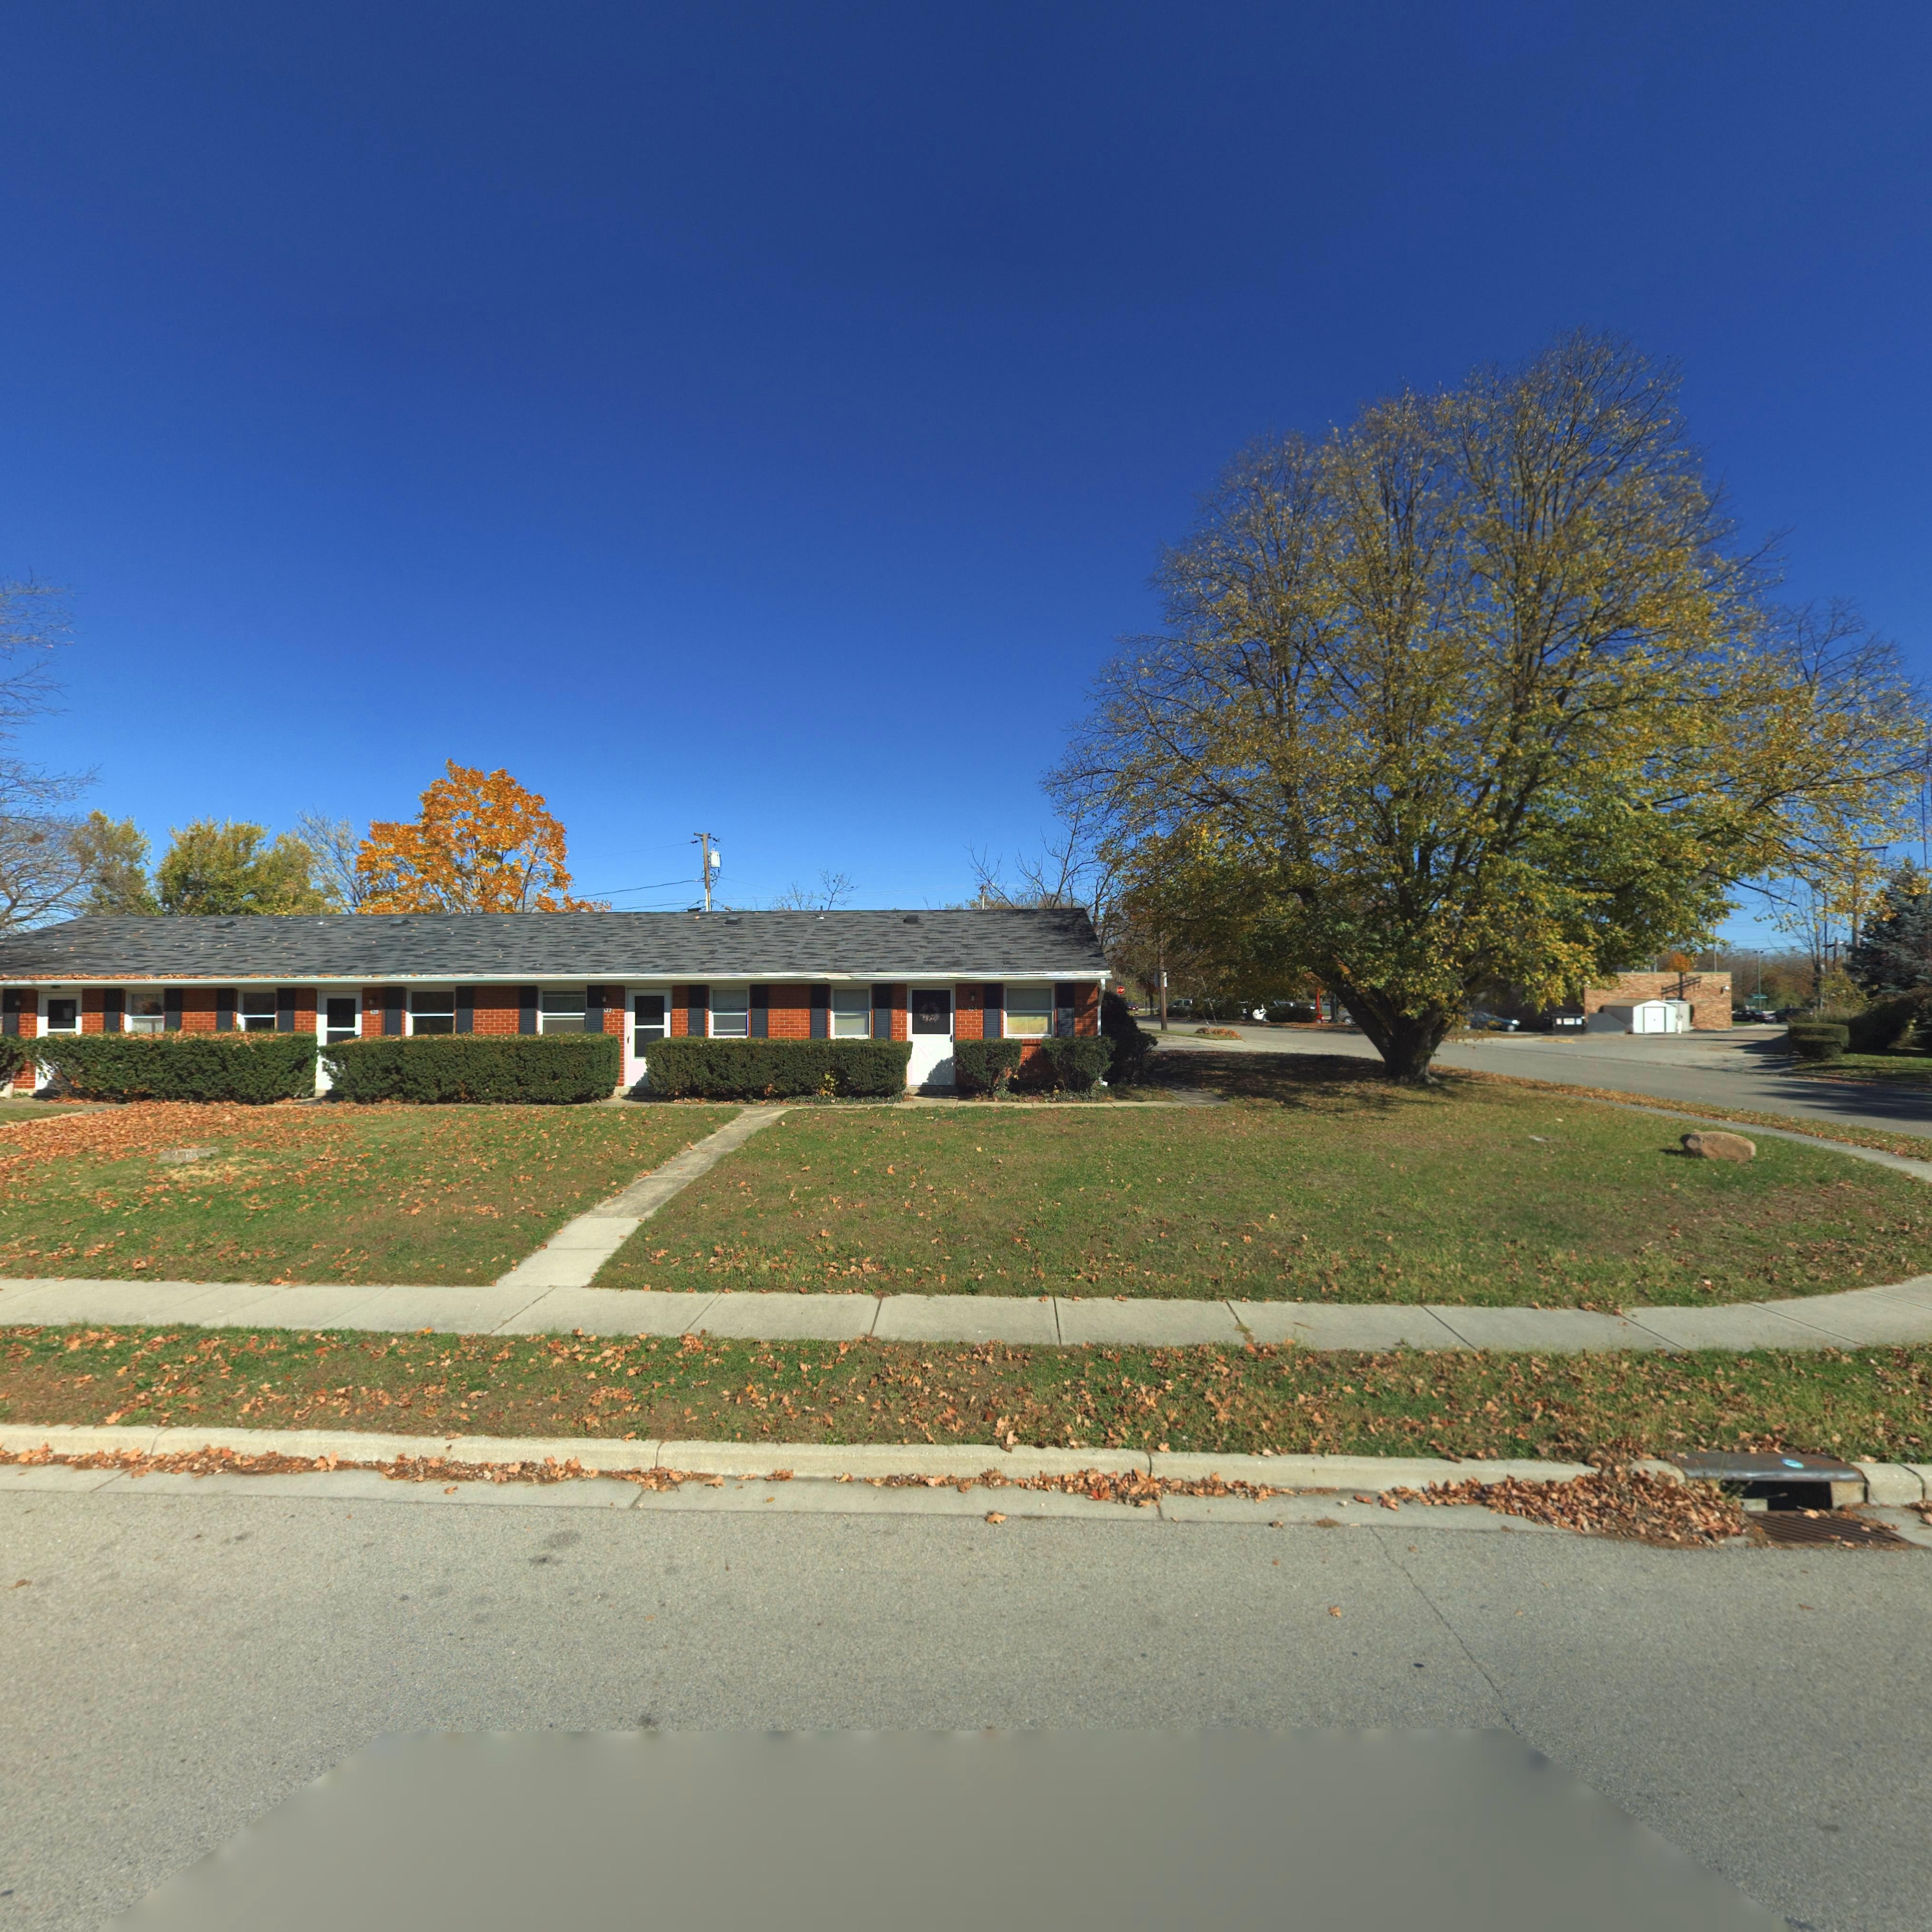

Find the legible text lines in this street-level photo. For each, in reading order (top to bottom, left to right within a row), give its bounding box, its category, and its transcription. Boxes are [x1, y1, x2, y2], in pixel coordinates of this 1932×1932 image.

[369, 1009, 379, 1015] StreetNumber: 620
[605, 1007, 612, 1013] StreetNumber: 22
[967, 1006, 977, 1011] StreetNumber: 624